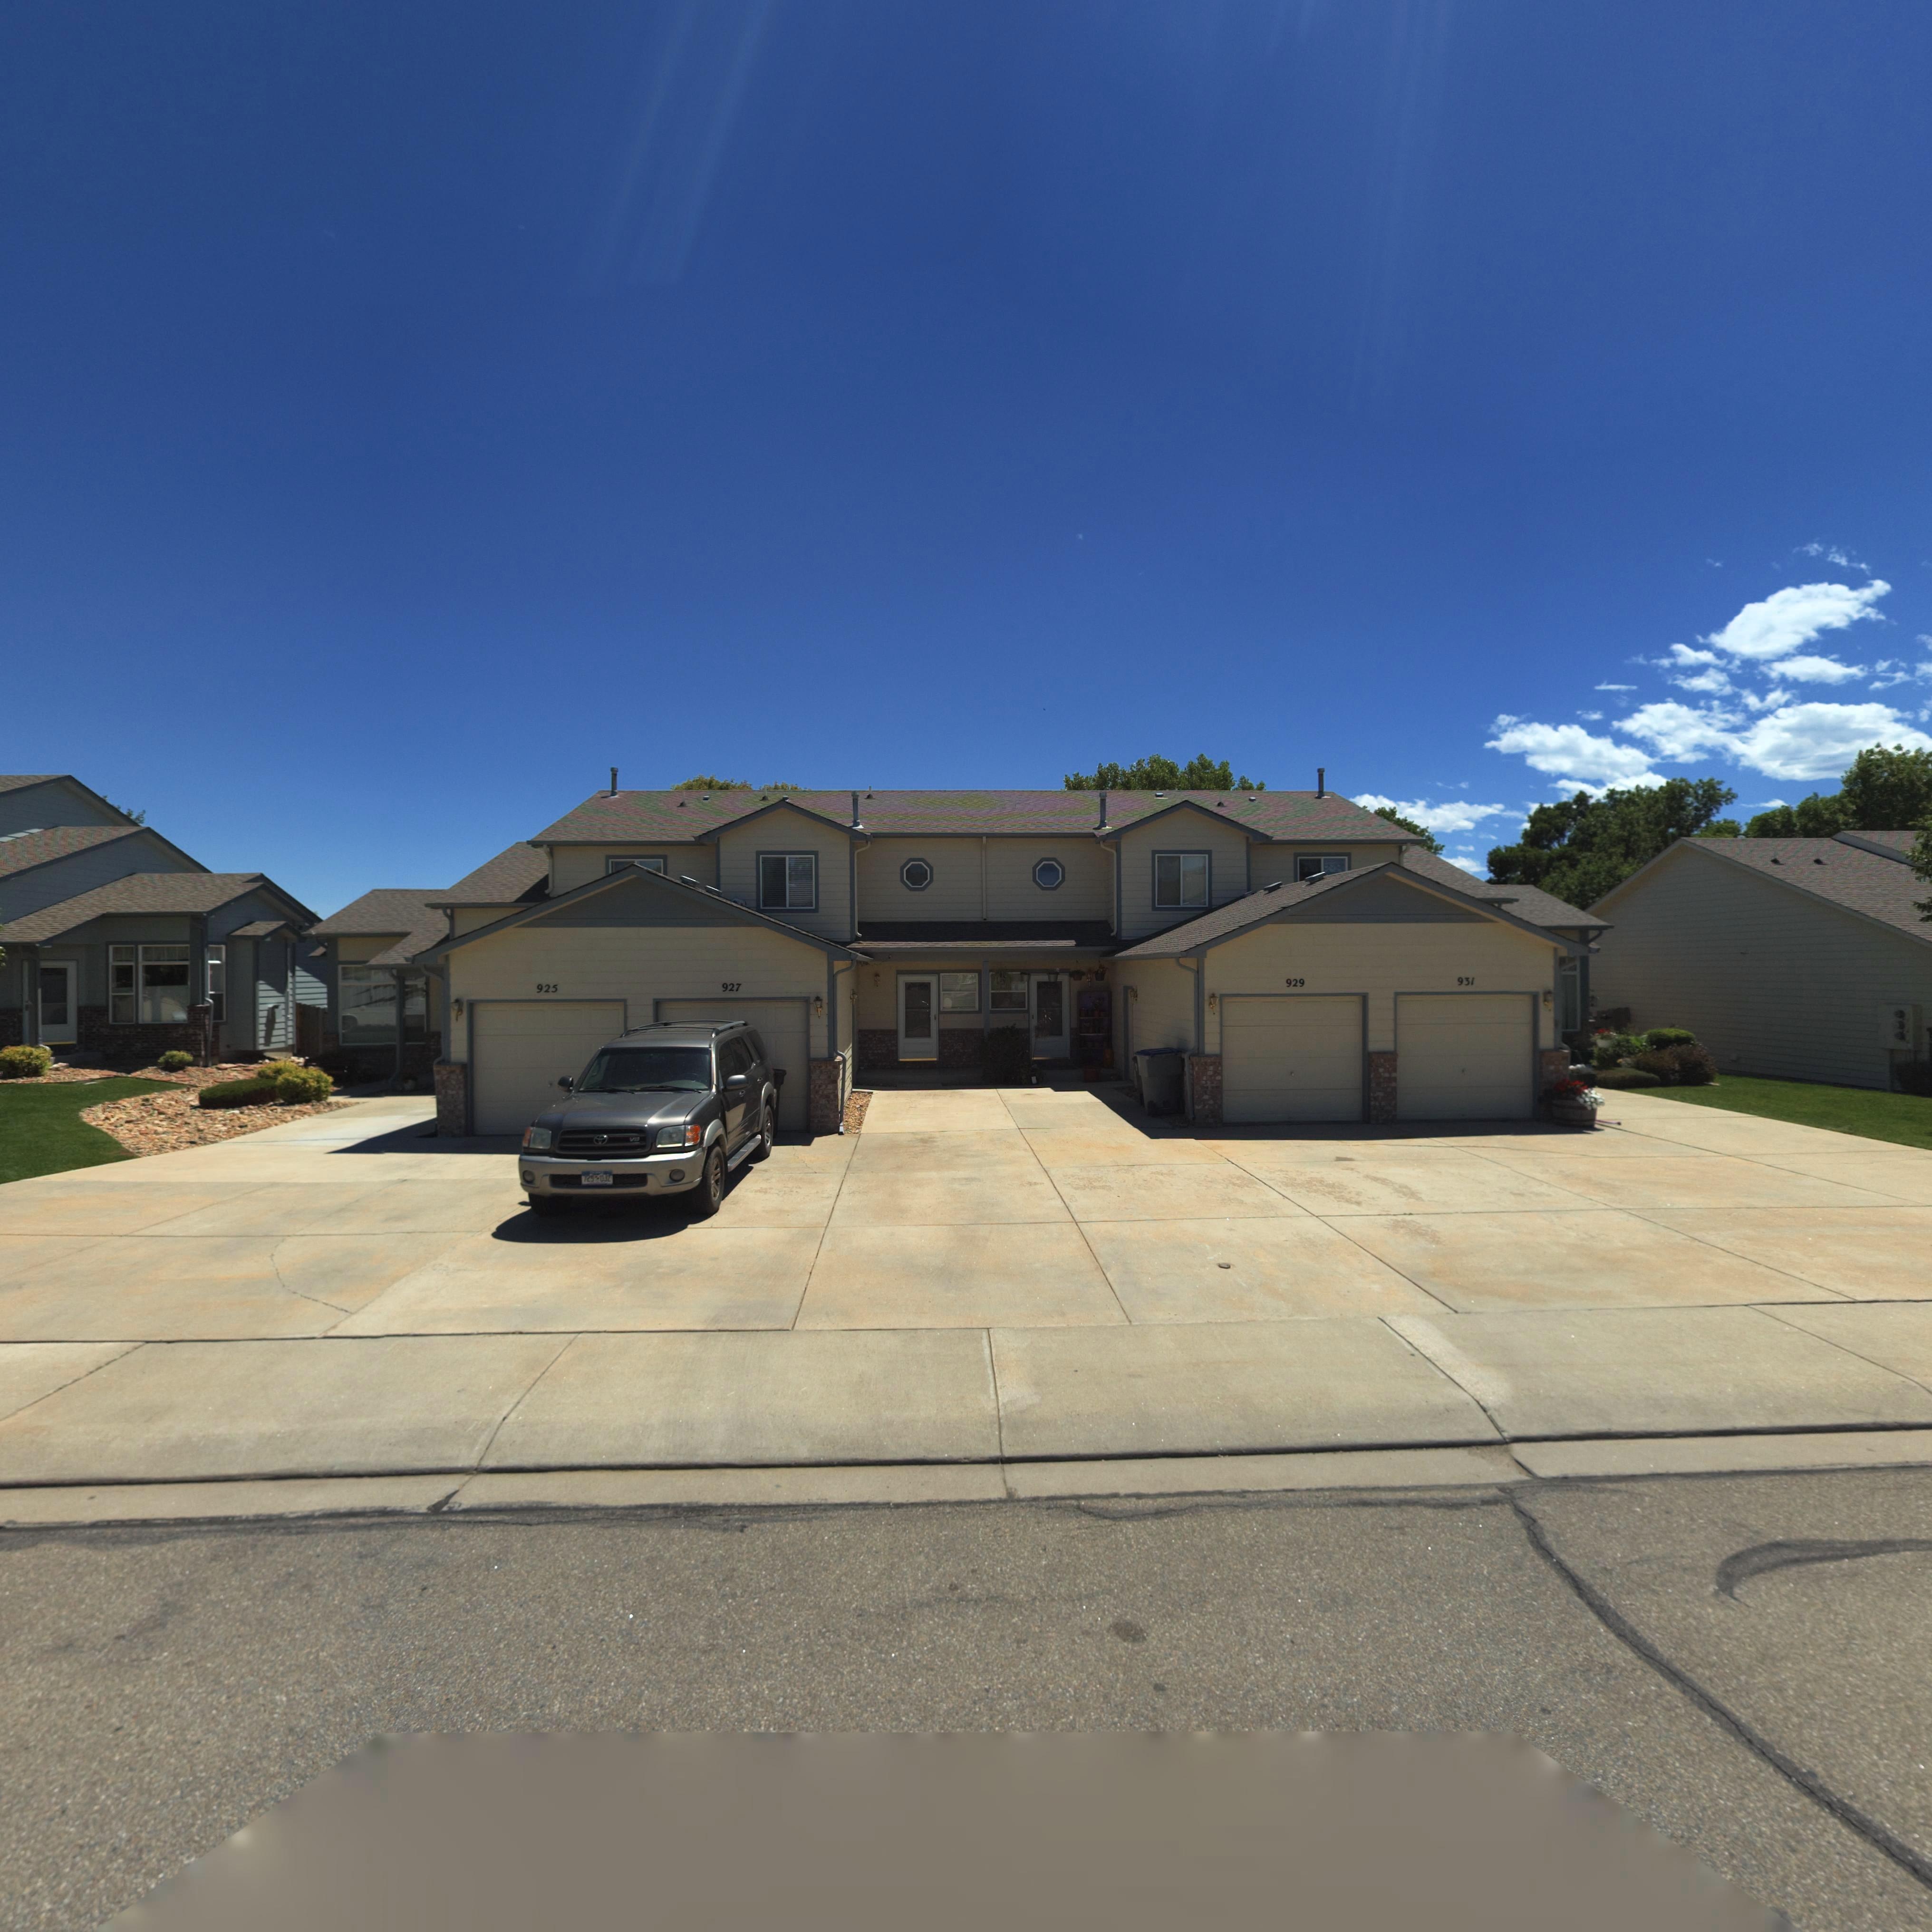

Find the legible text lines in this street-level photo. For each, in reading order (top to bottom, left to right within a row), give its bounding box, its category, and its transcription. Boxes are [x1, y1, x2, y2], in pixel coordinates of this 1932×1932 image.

[536, 983, 558, 993] StreetNumber: 925
[721, 982, 742, 992] StreetNumber: 927
[1286, 978, 1305, 987] StreetNumber: 929
[1457, 976, 1475, 986] StreetNumber: 931